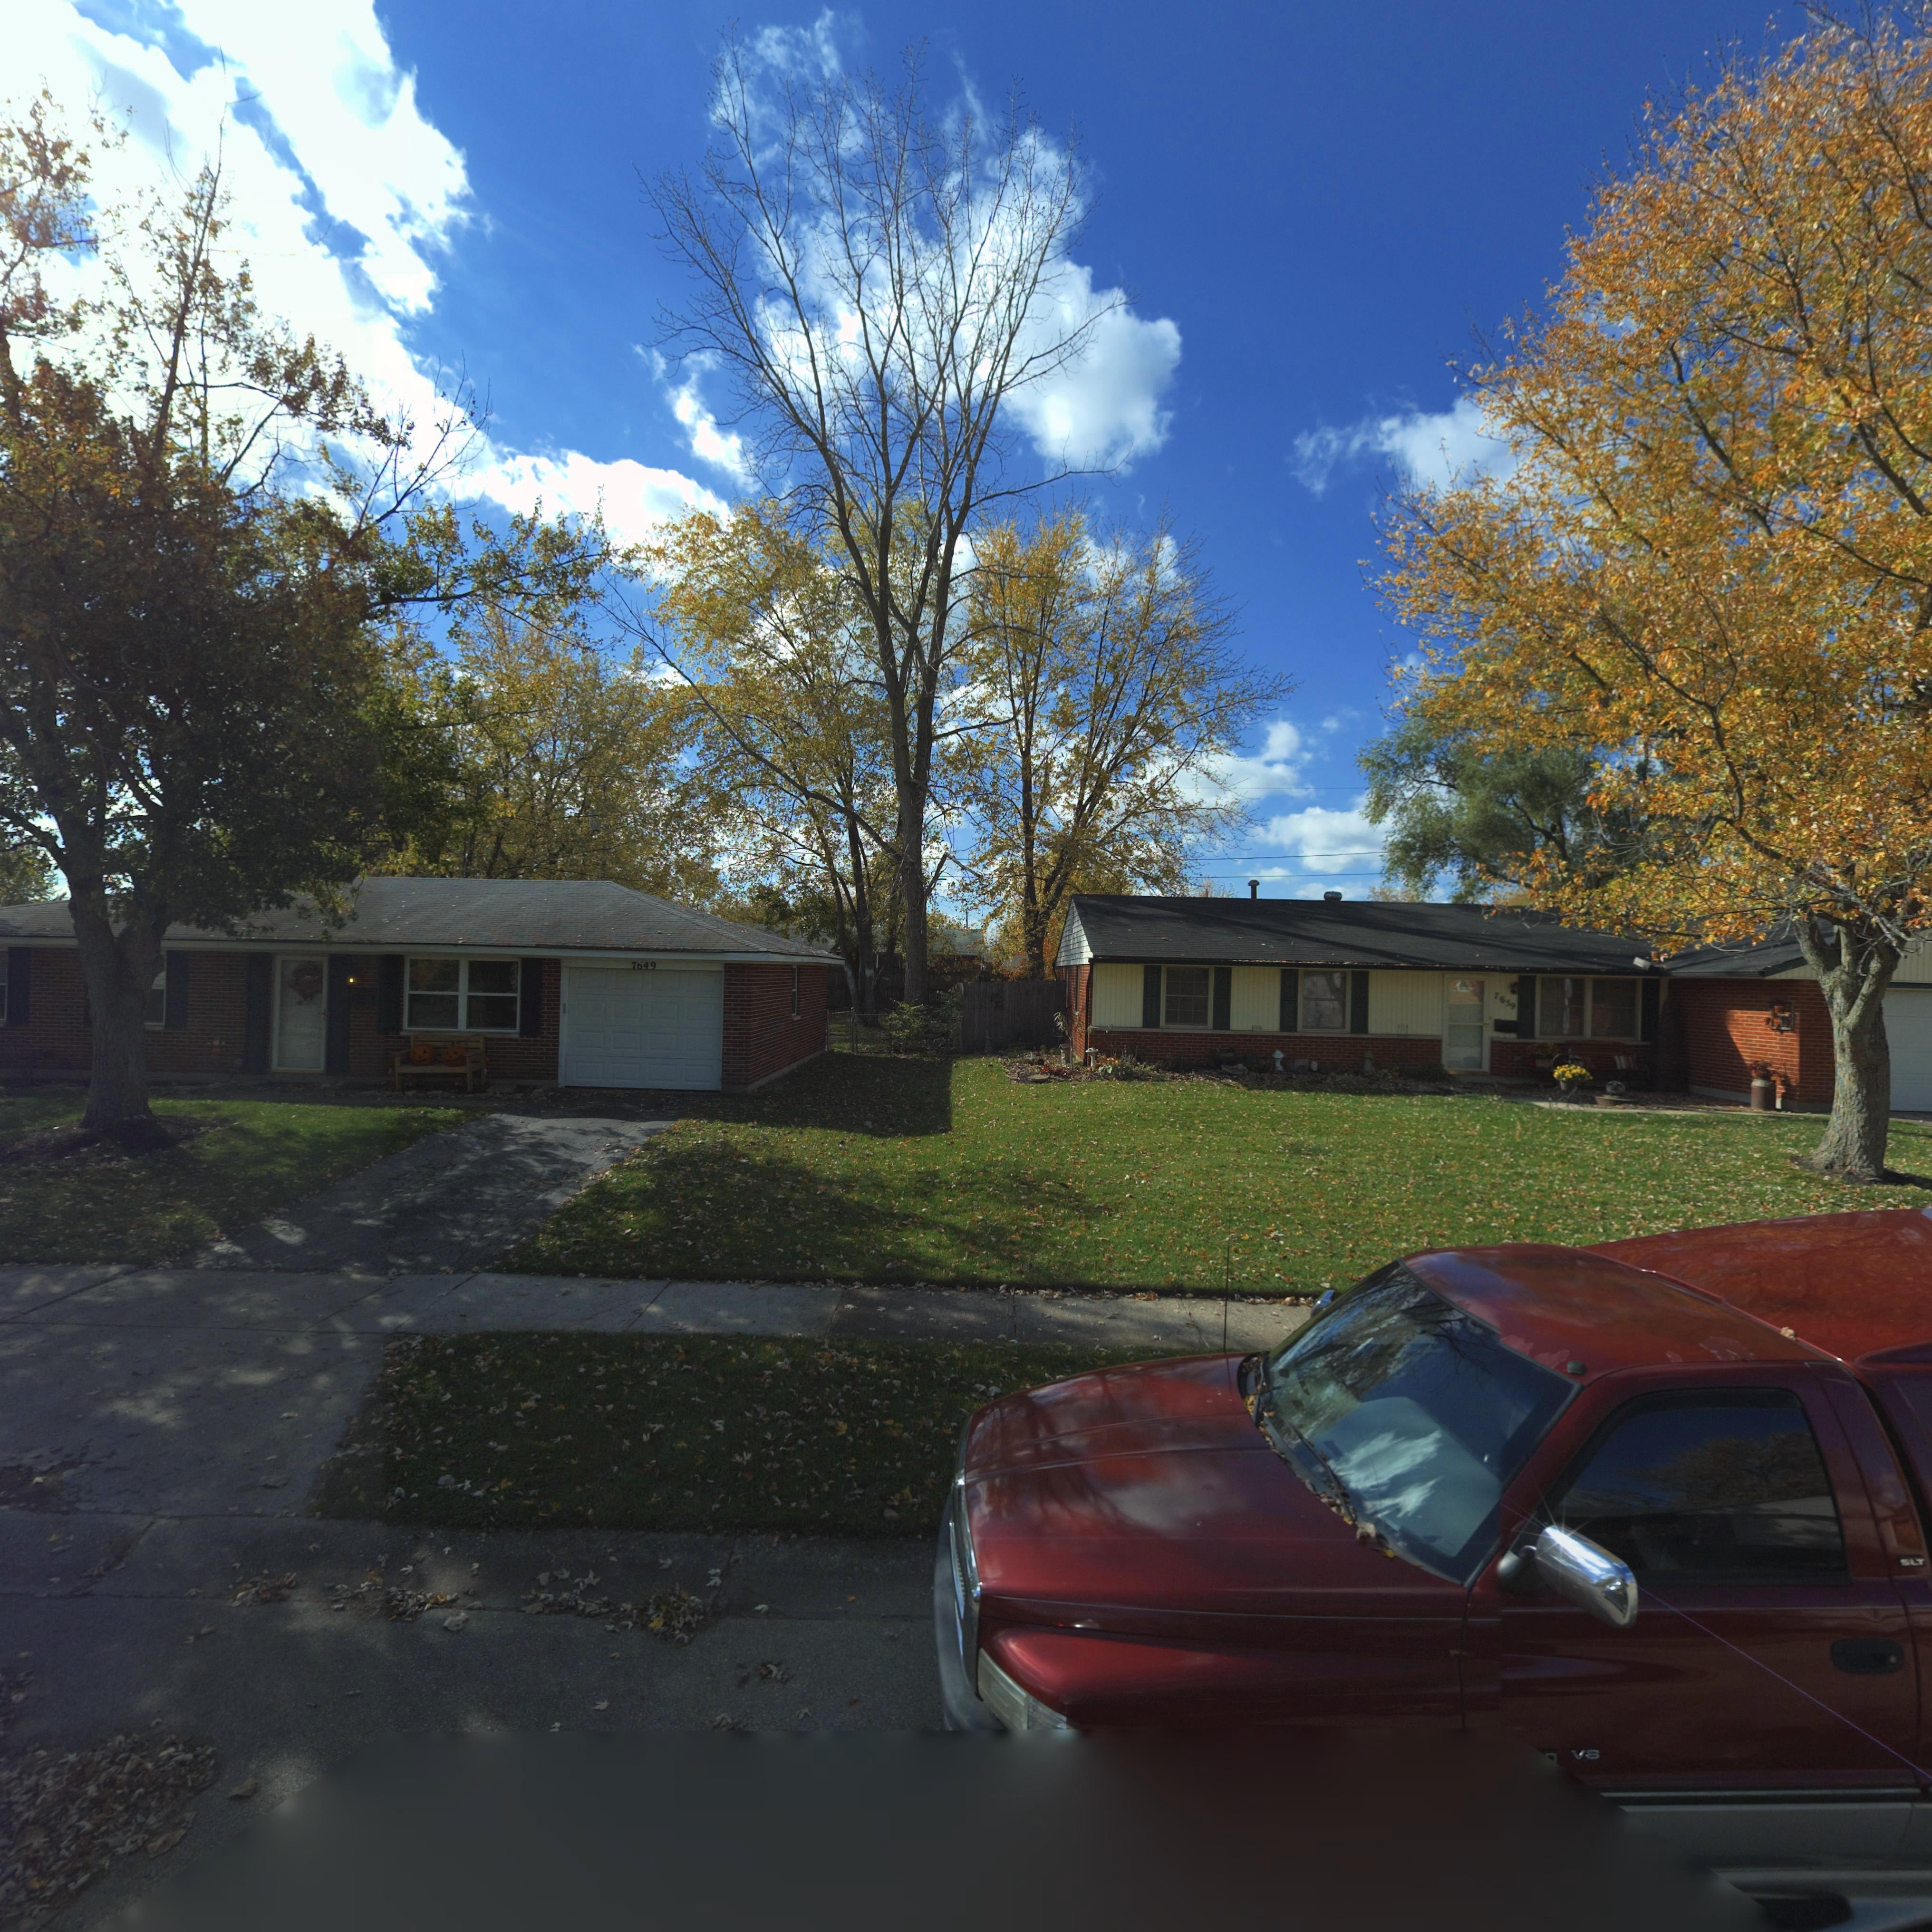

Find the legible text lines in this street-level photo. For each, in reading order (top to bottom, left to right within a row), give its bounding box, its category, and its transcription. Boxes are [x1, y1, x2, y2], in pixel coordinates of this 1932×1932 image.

[630, 960, 657, 971] StreetNumber: 7*49
[1493, 991, 1517, 1012] StreetNumber: 7659